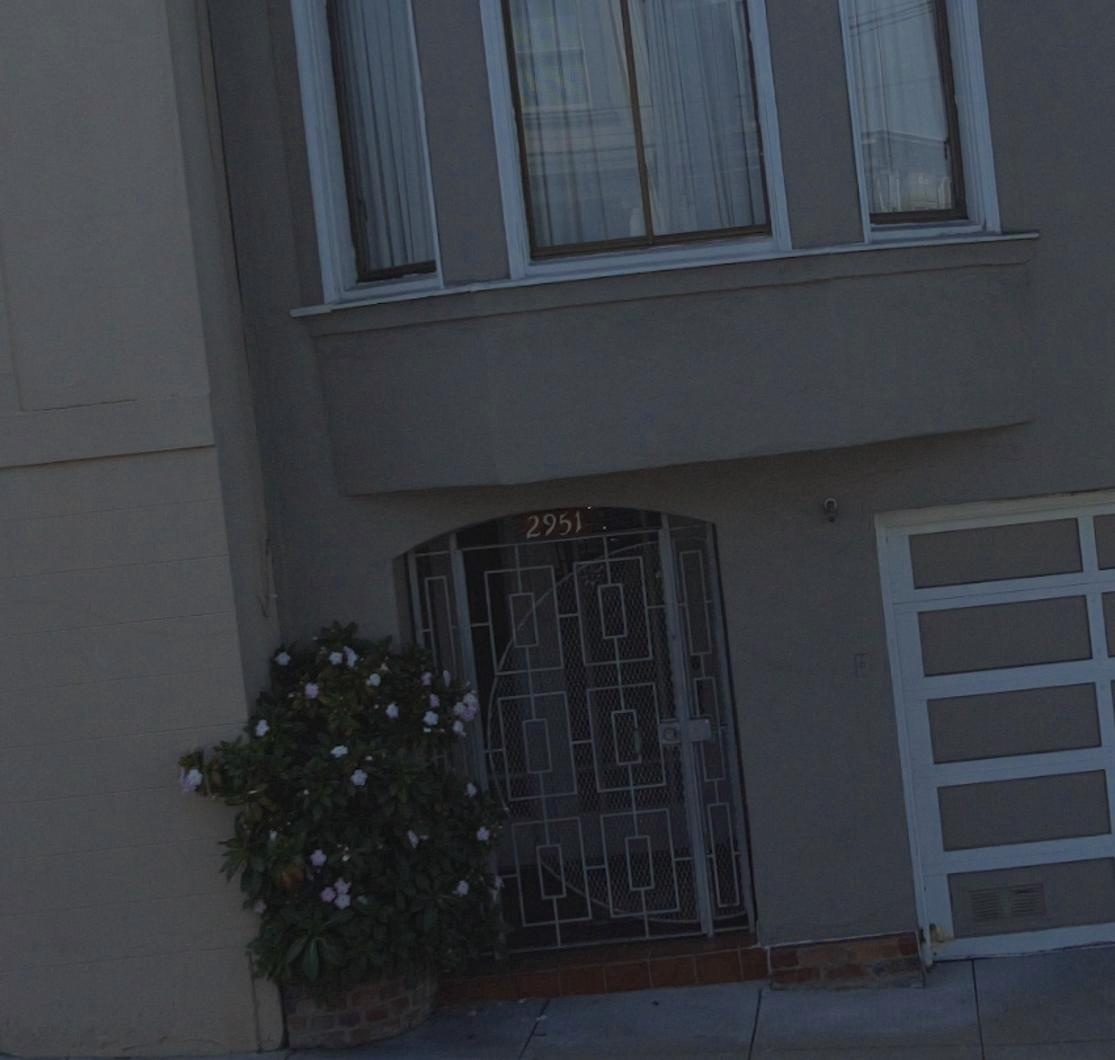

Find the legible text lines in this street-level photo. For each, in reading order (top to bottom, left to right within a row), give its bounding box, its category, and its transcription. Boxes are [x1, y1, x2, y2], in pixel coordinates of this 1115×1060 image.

[525, 508, 583, 541] StreetNumber: 2951